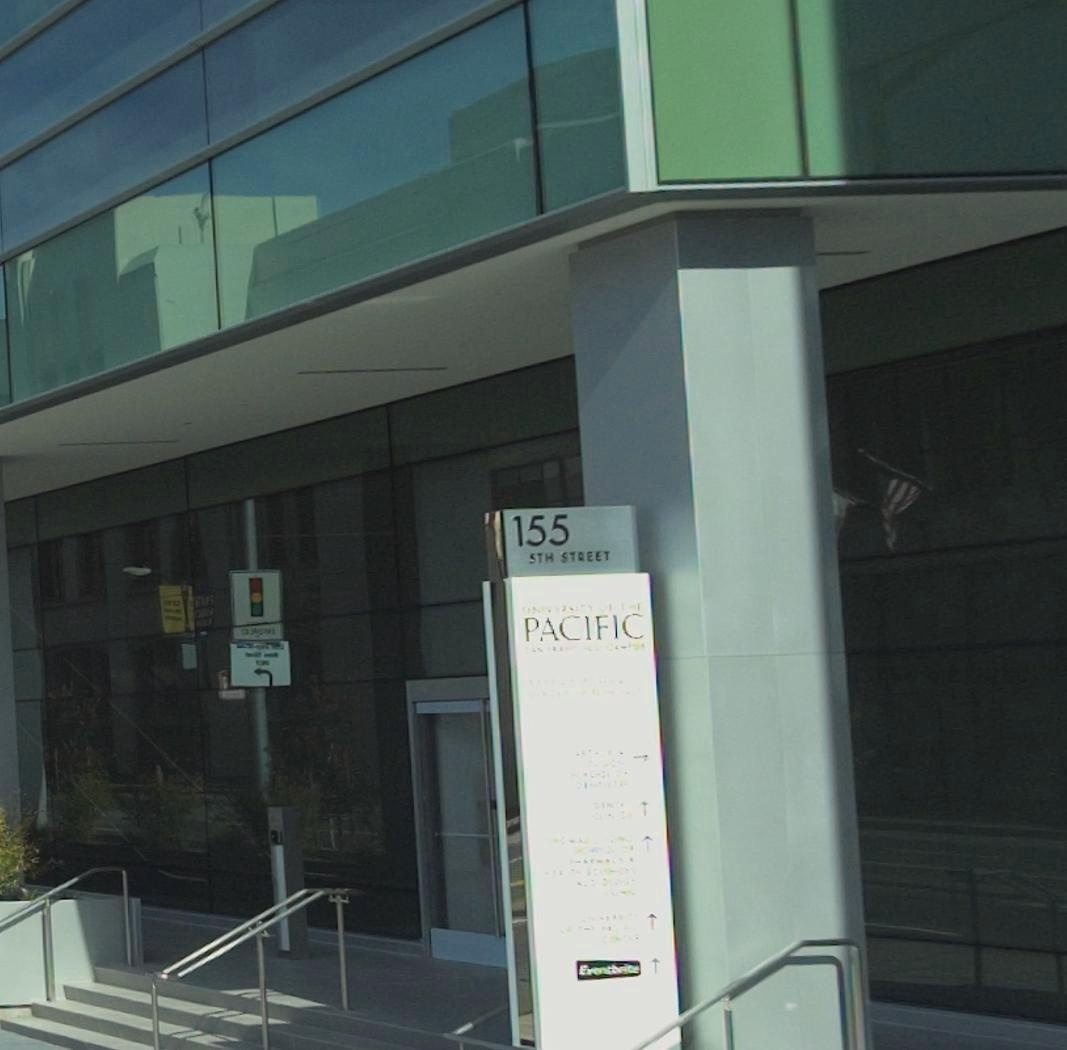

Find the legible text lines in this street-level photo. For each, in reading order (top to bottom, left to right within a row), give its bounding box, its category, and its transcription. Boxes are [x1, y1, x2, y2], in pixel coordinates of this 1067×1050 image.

[508, 510, 573, 549] StreetNumber: 155
[523, 546, 616, 567] StreetName: 5th STREET
[518, 610, 647, 647] BusinessName: PACIFIC
[575, 959, 598, 980] None: Ex